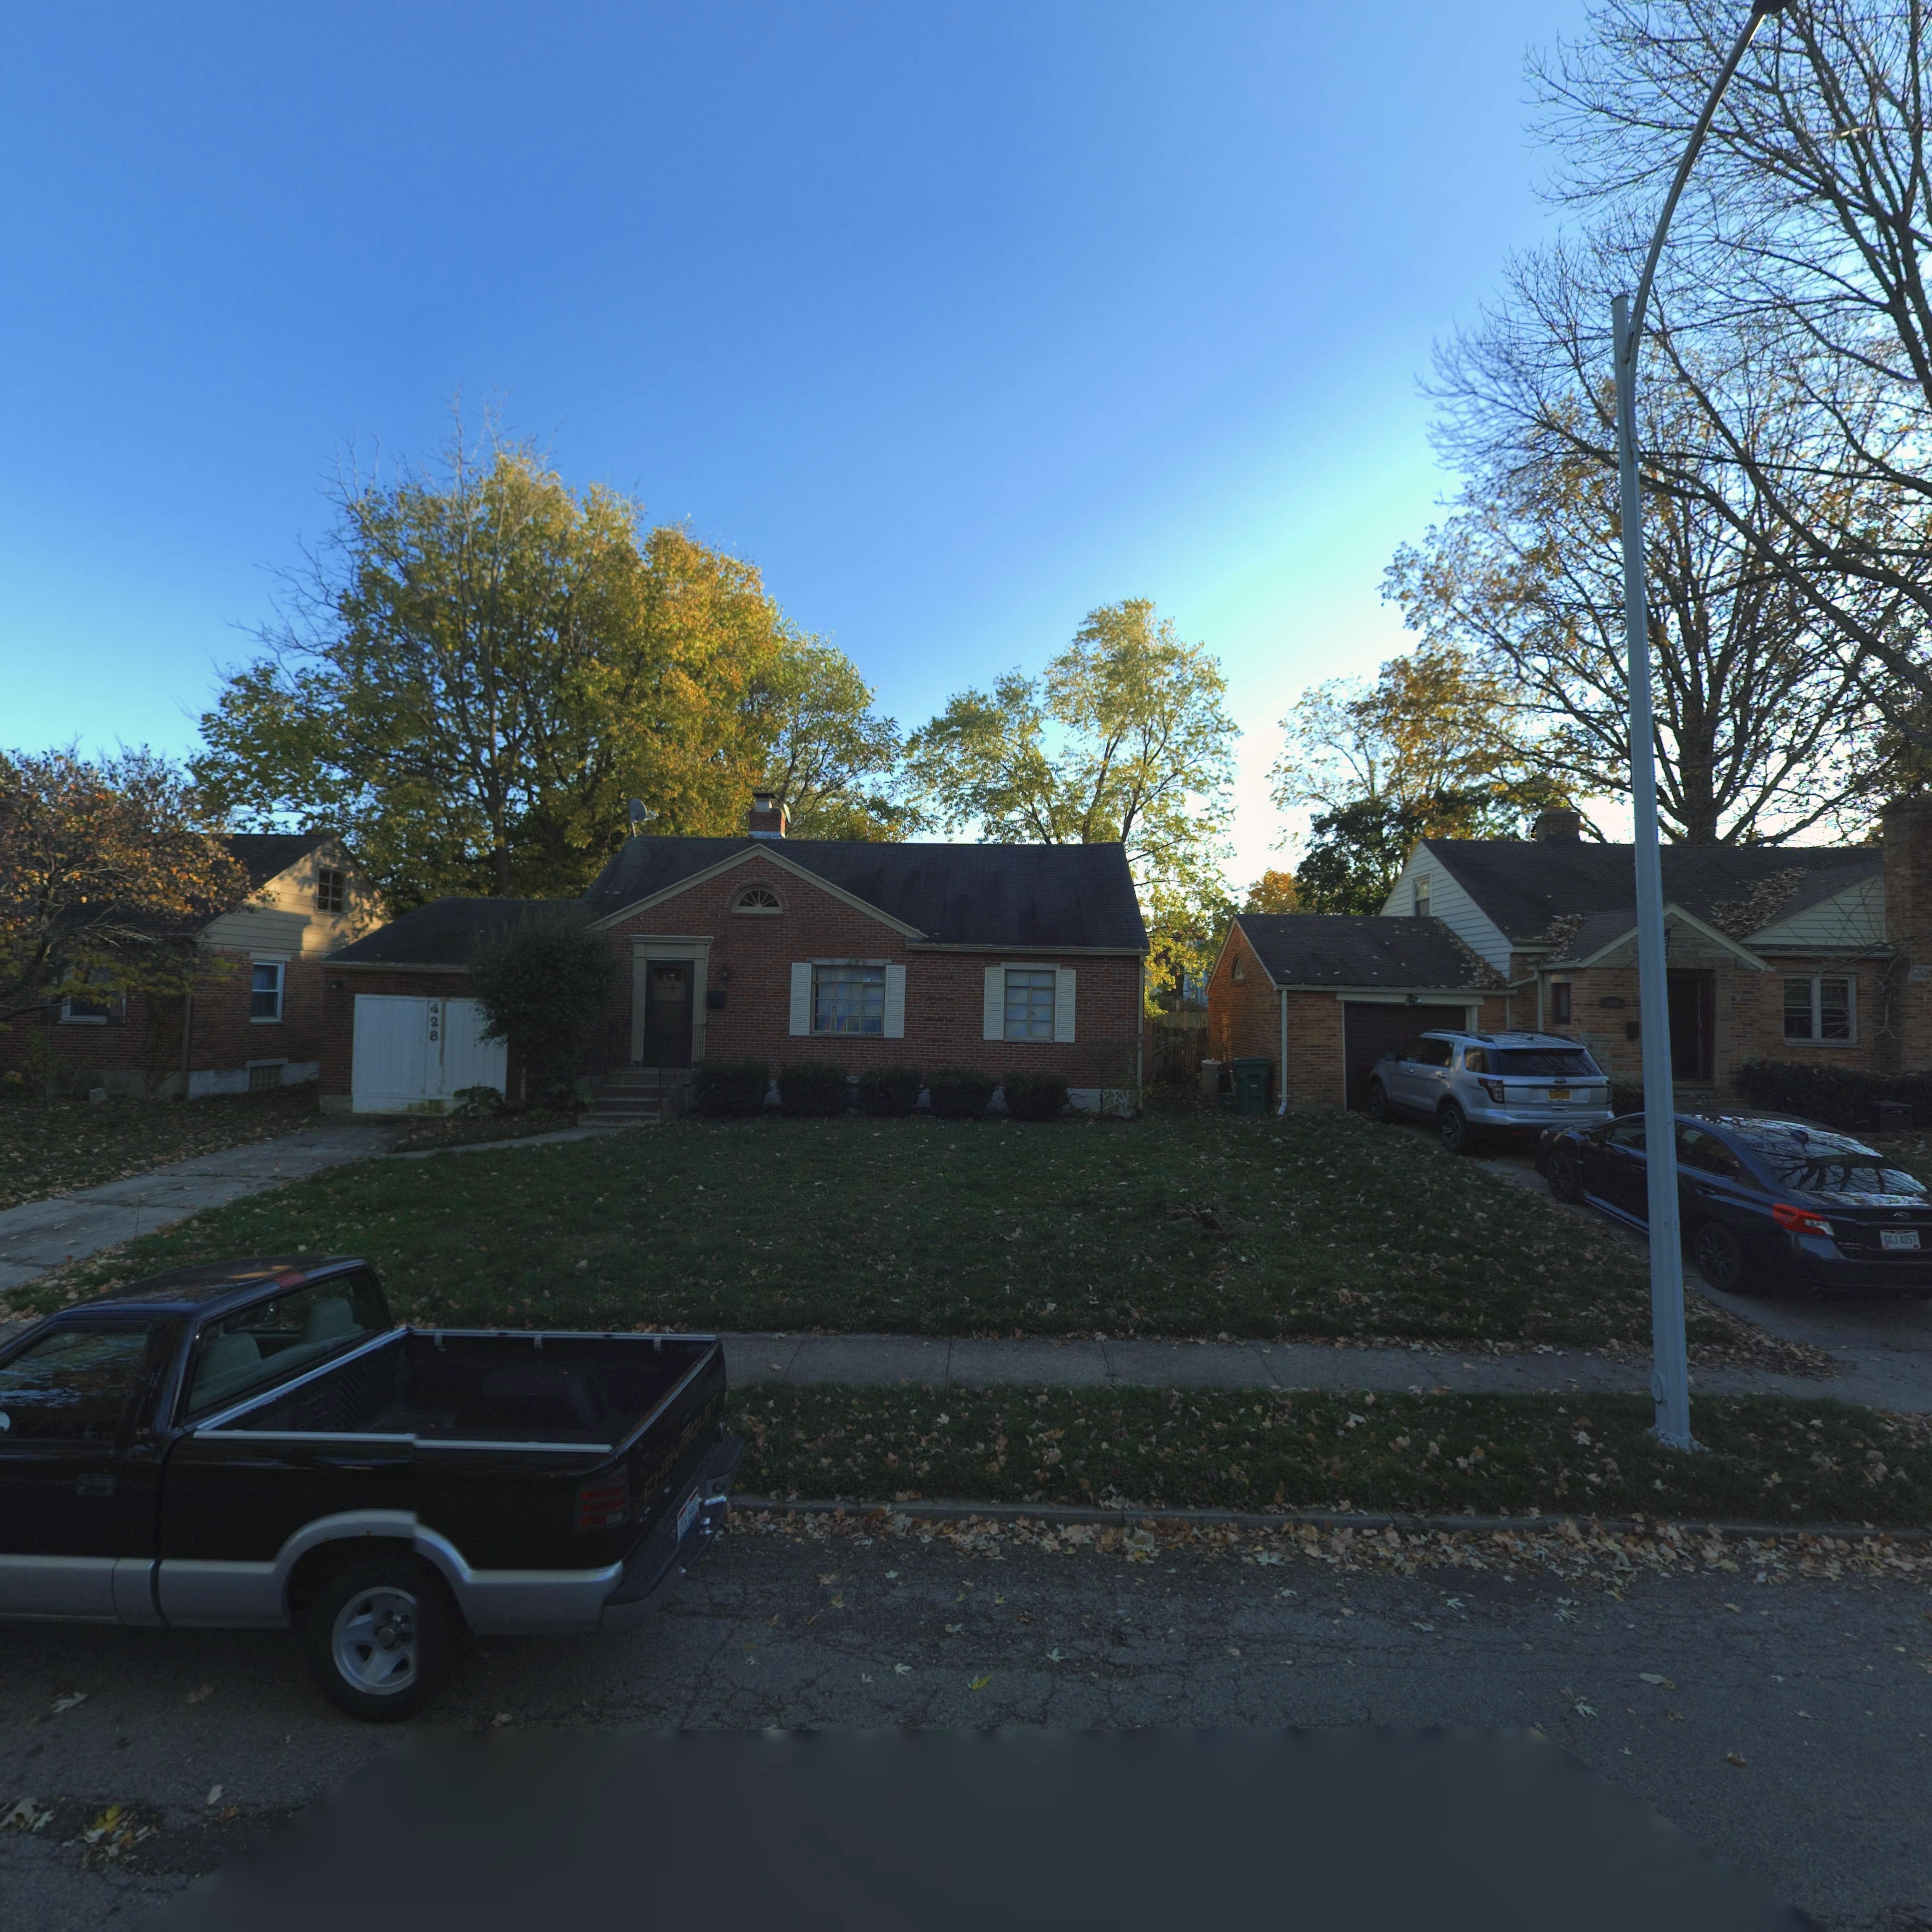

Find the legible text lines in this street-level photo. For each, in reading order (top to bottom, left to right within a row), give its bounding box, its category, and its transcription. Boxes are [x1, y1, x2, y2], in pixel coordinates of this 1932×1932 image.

[429, 1002, 439, 1043] StreetNumber: 428